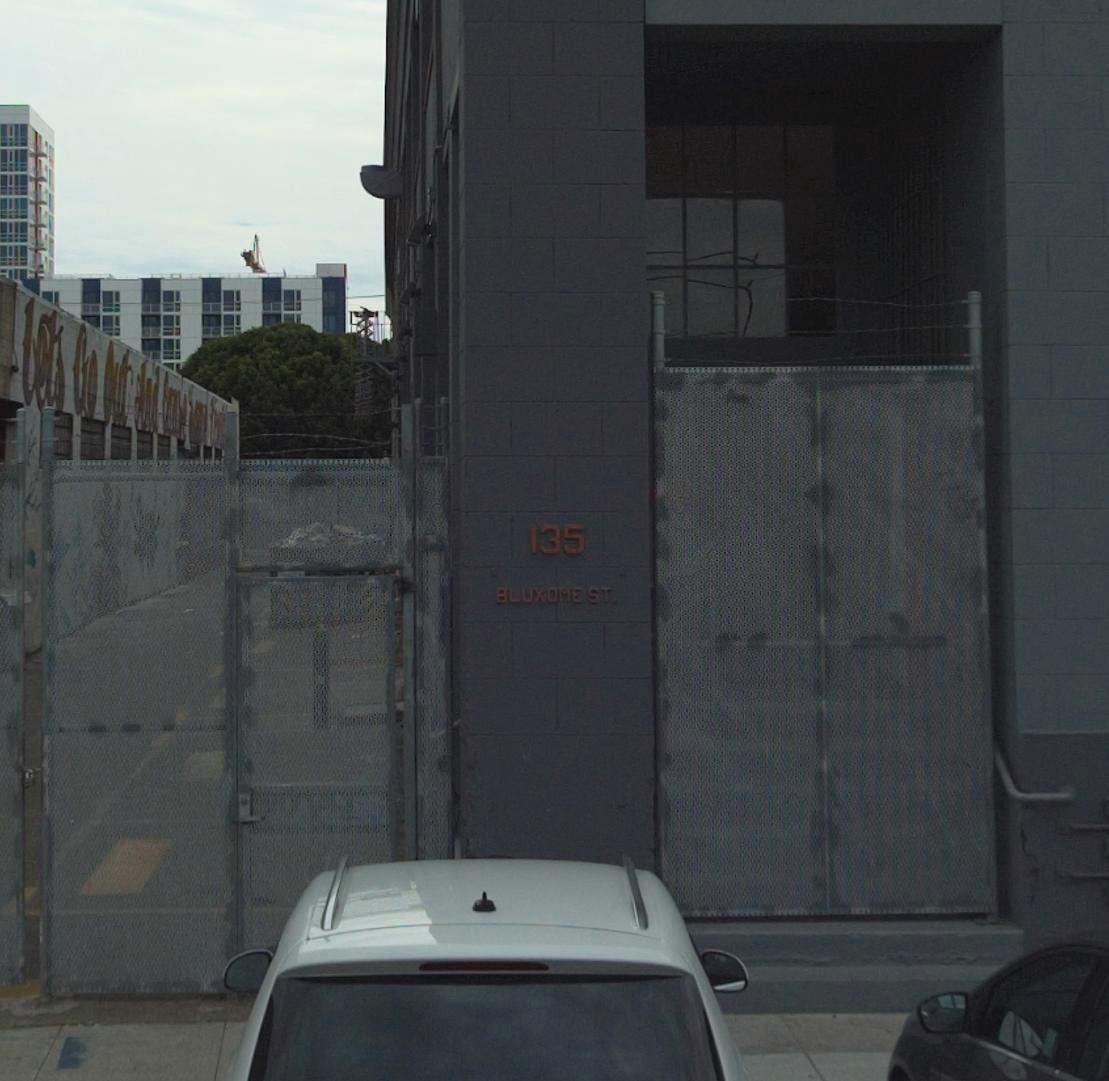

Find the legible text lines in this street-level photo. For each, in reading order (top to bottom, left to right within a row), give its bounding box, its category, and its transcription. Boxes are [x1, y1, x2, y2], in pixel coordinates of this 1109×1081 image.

[528, 521, 587, 556] StreetNumber: 135
[494, 584, 614, 606] StreetName: BLUXOME ST